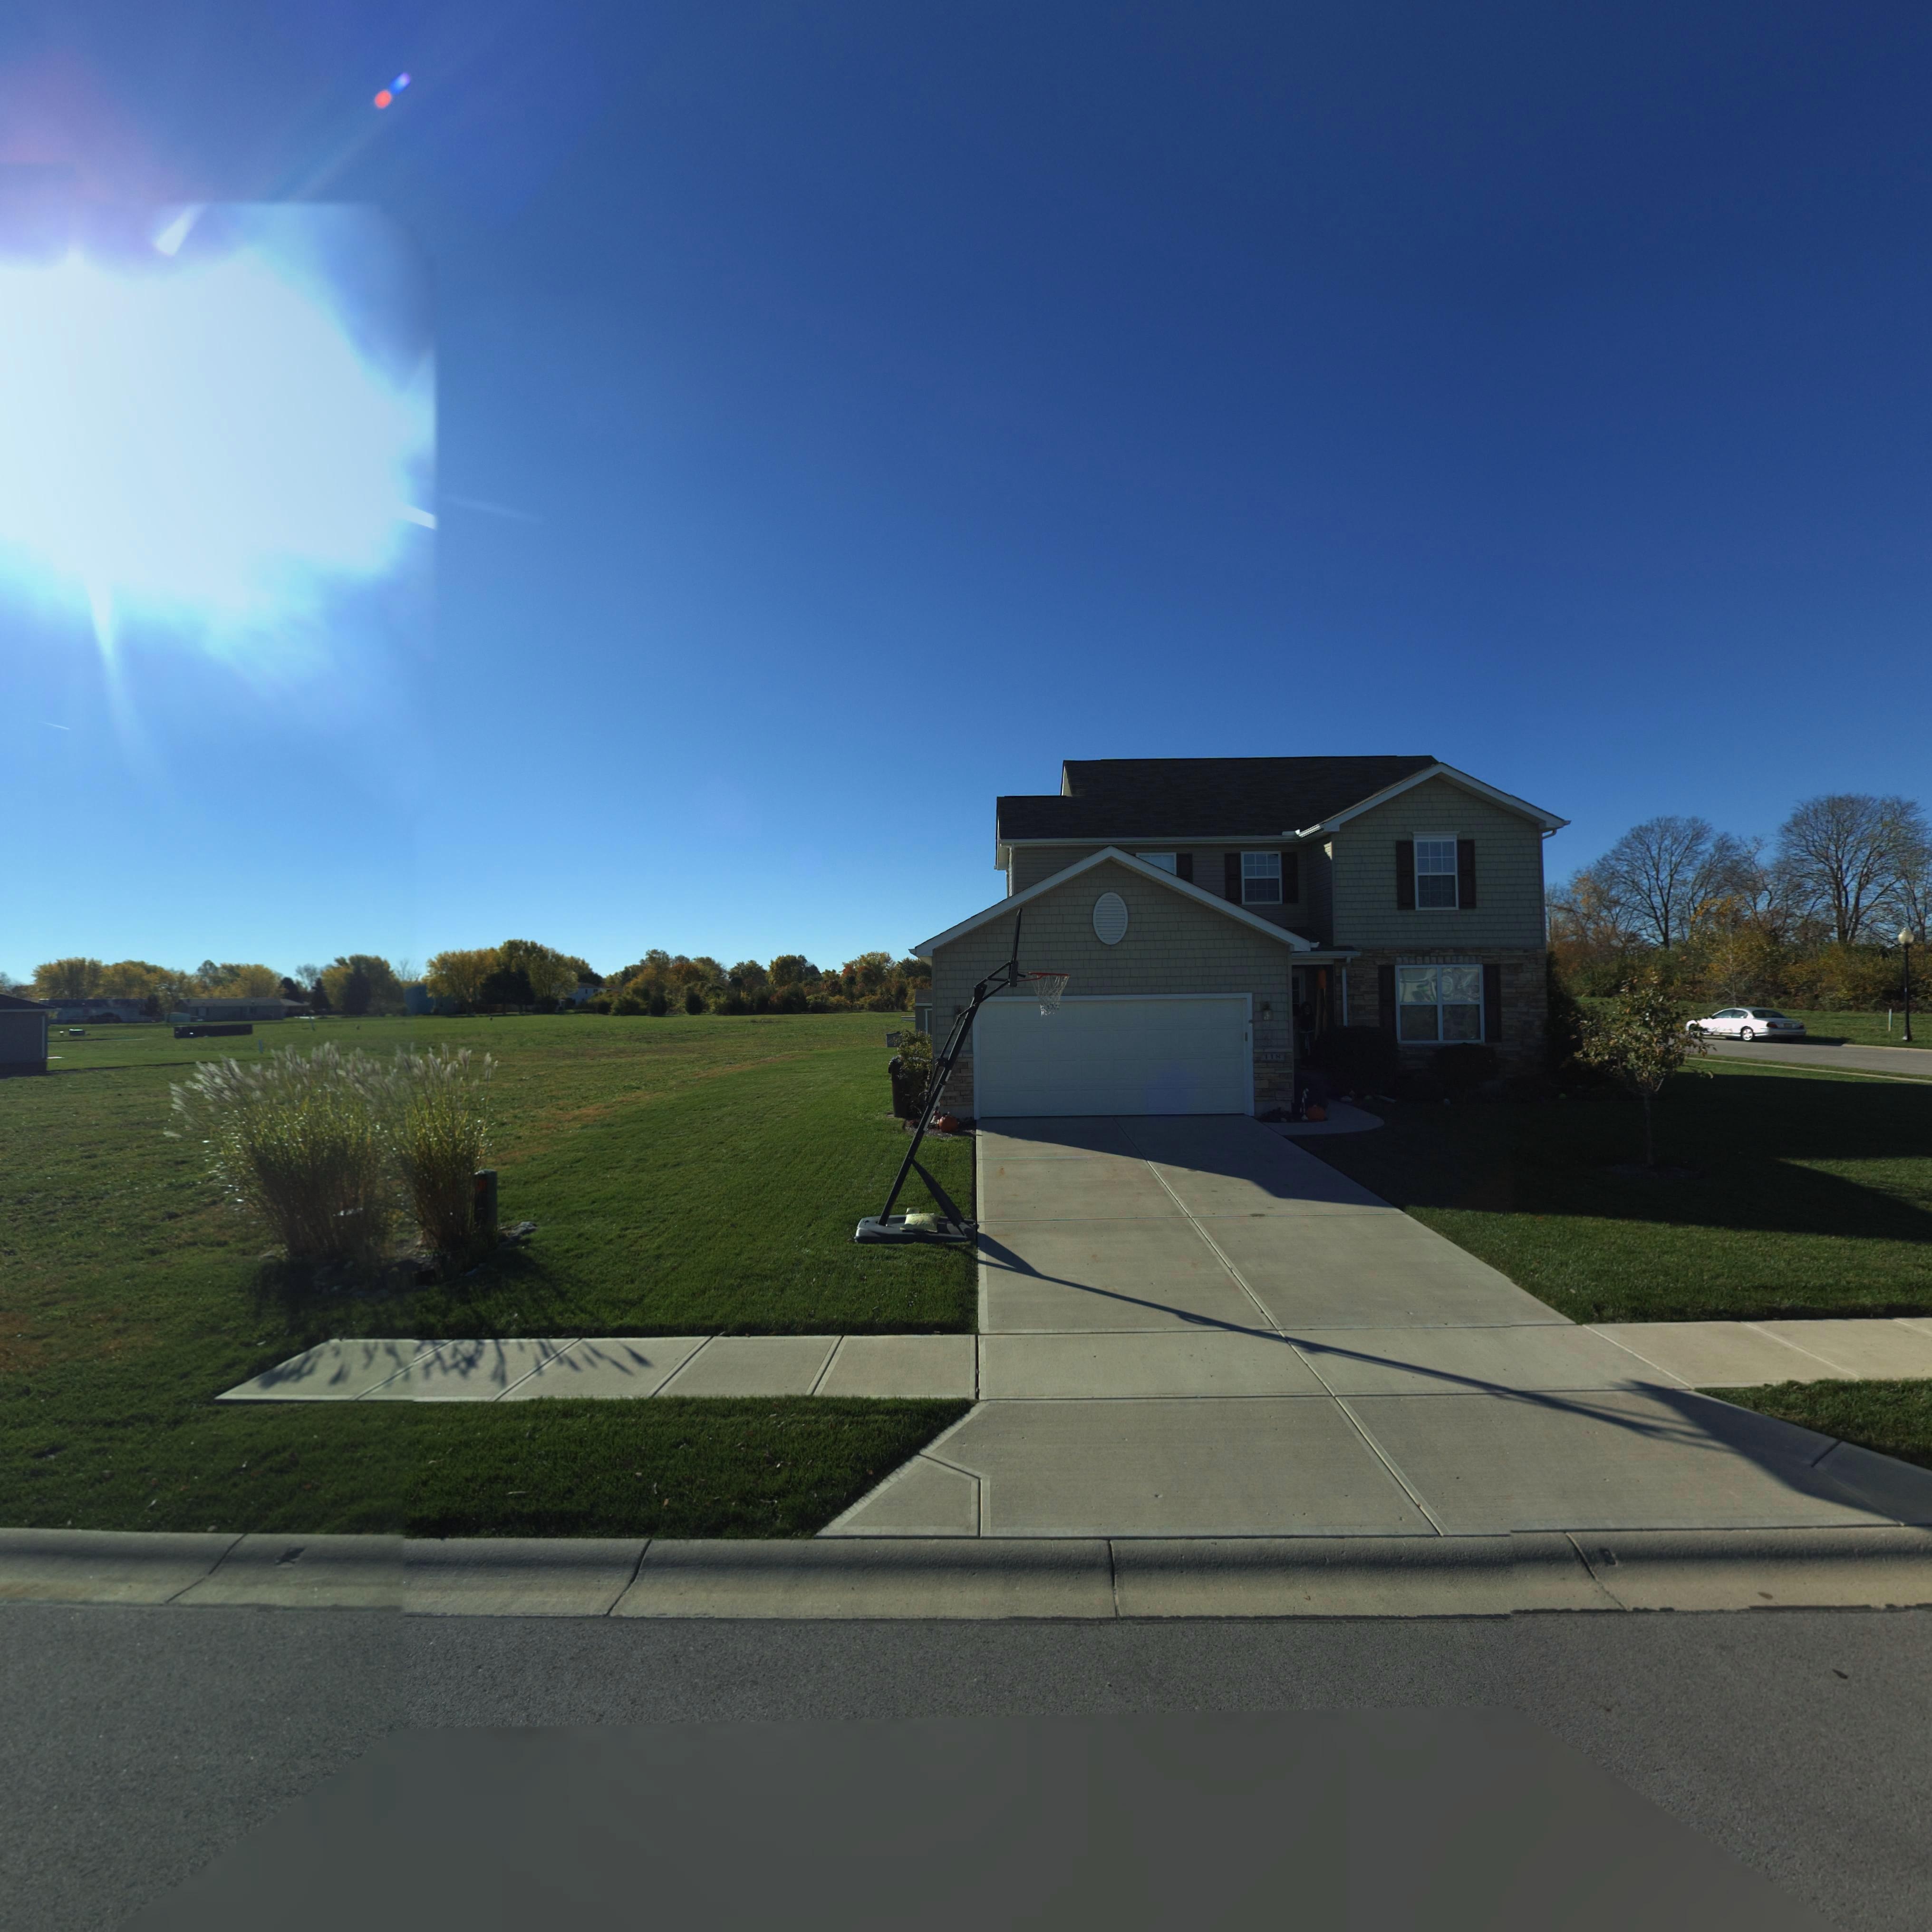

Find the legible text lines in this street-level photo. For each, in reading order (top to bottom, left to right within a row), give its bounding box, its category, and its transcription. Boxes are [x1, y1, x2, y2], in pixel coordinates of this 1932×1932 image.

[1264, 1053, 1281, 1060] StreetNumber: 118